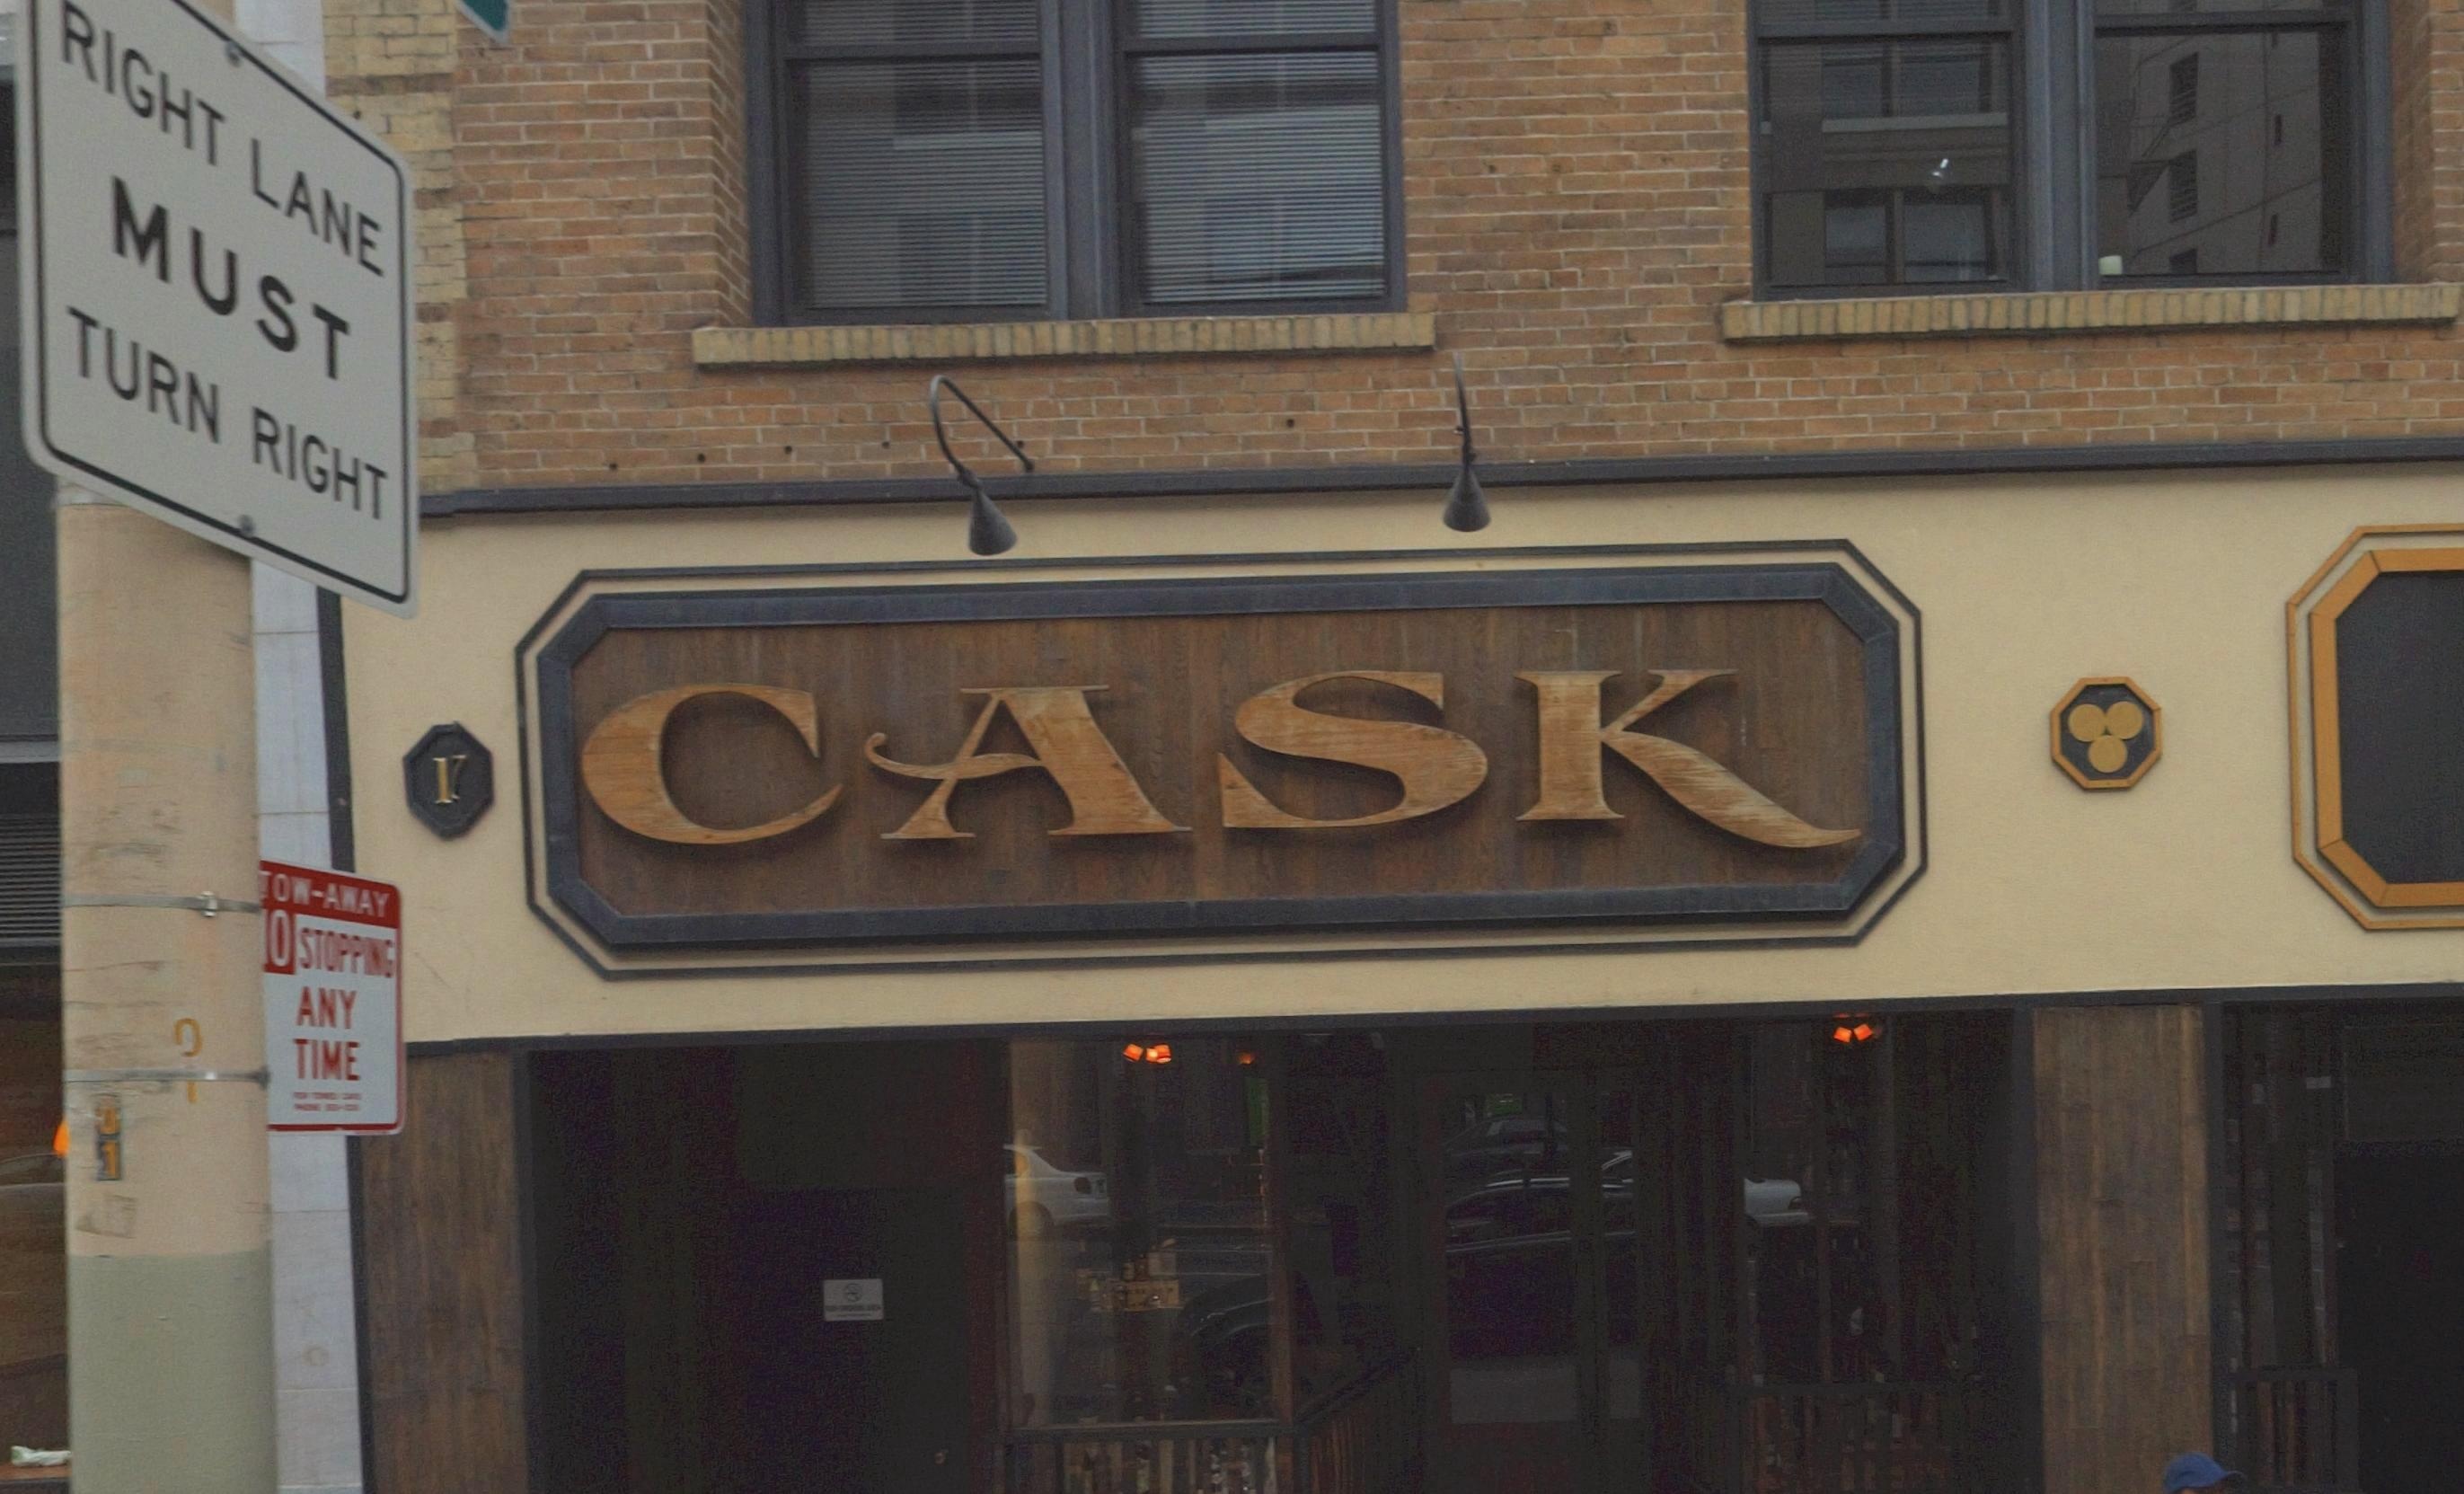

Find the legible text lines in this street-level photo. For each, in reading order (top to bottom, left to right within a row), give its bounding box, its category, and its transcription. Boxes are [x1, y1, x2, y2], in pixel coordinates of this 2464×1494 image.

[49, 0, 393, 292] None: RIGHT LANE
[101, 159, 359, 393] None: MUST
[59, 293, 393, 532] None: TURN RIGHT
[427, 753, 456, 808] None: 1
[568, 658, 1877, 864] BusinessName: CASK
[269, 867, 393, 922] None: OW-AWAY
[265, 904, 400, 982] None: O STOPPING
[290, 982, 363, 1033] None: ANY
[288, 1034, 367, 1085] None: TIME
[97, 1138, 121, 1181] None: 1